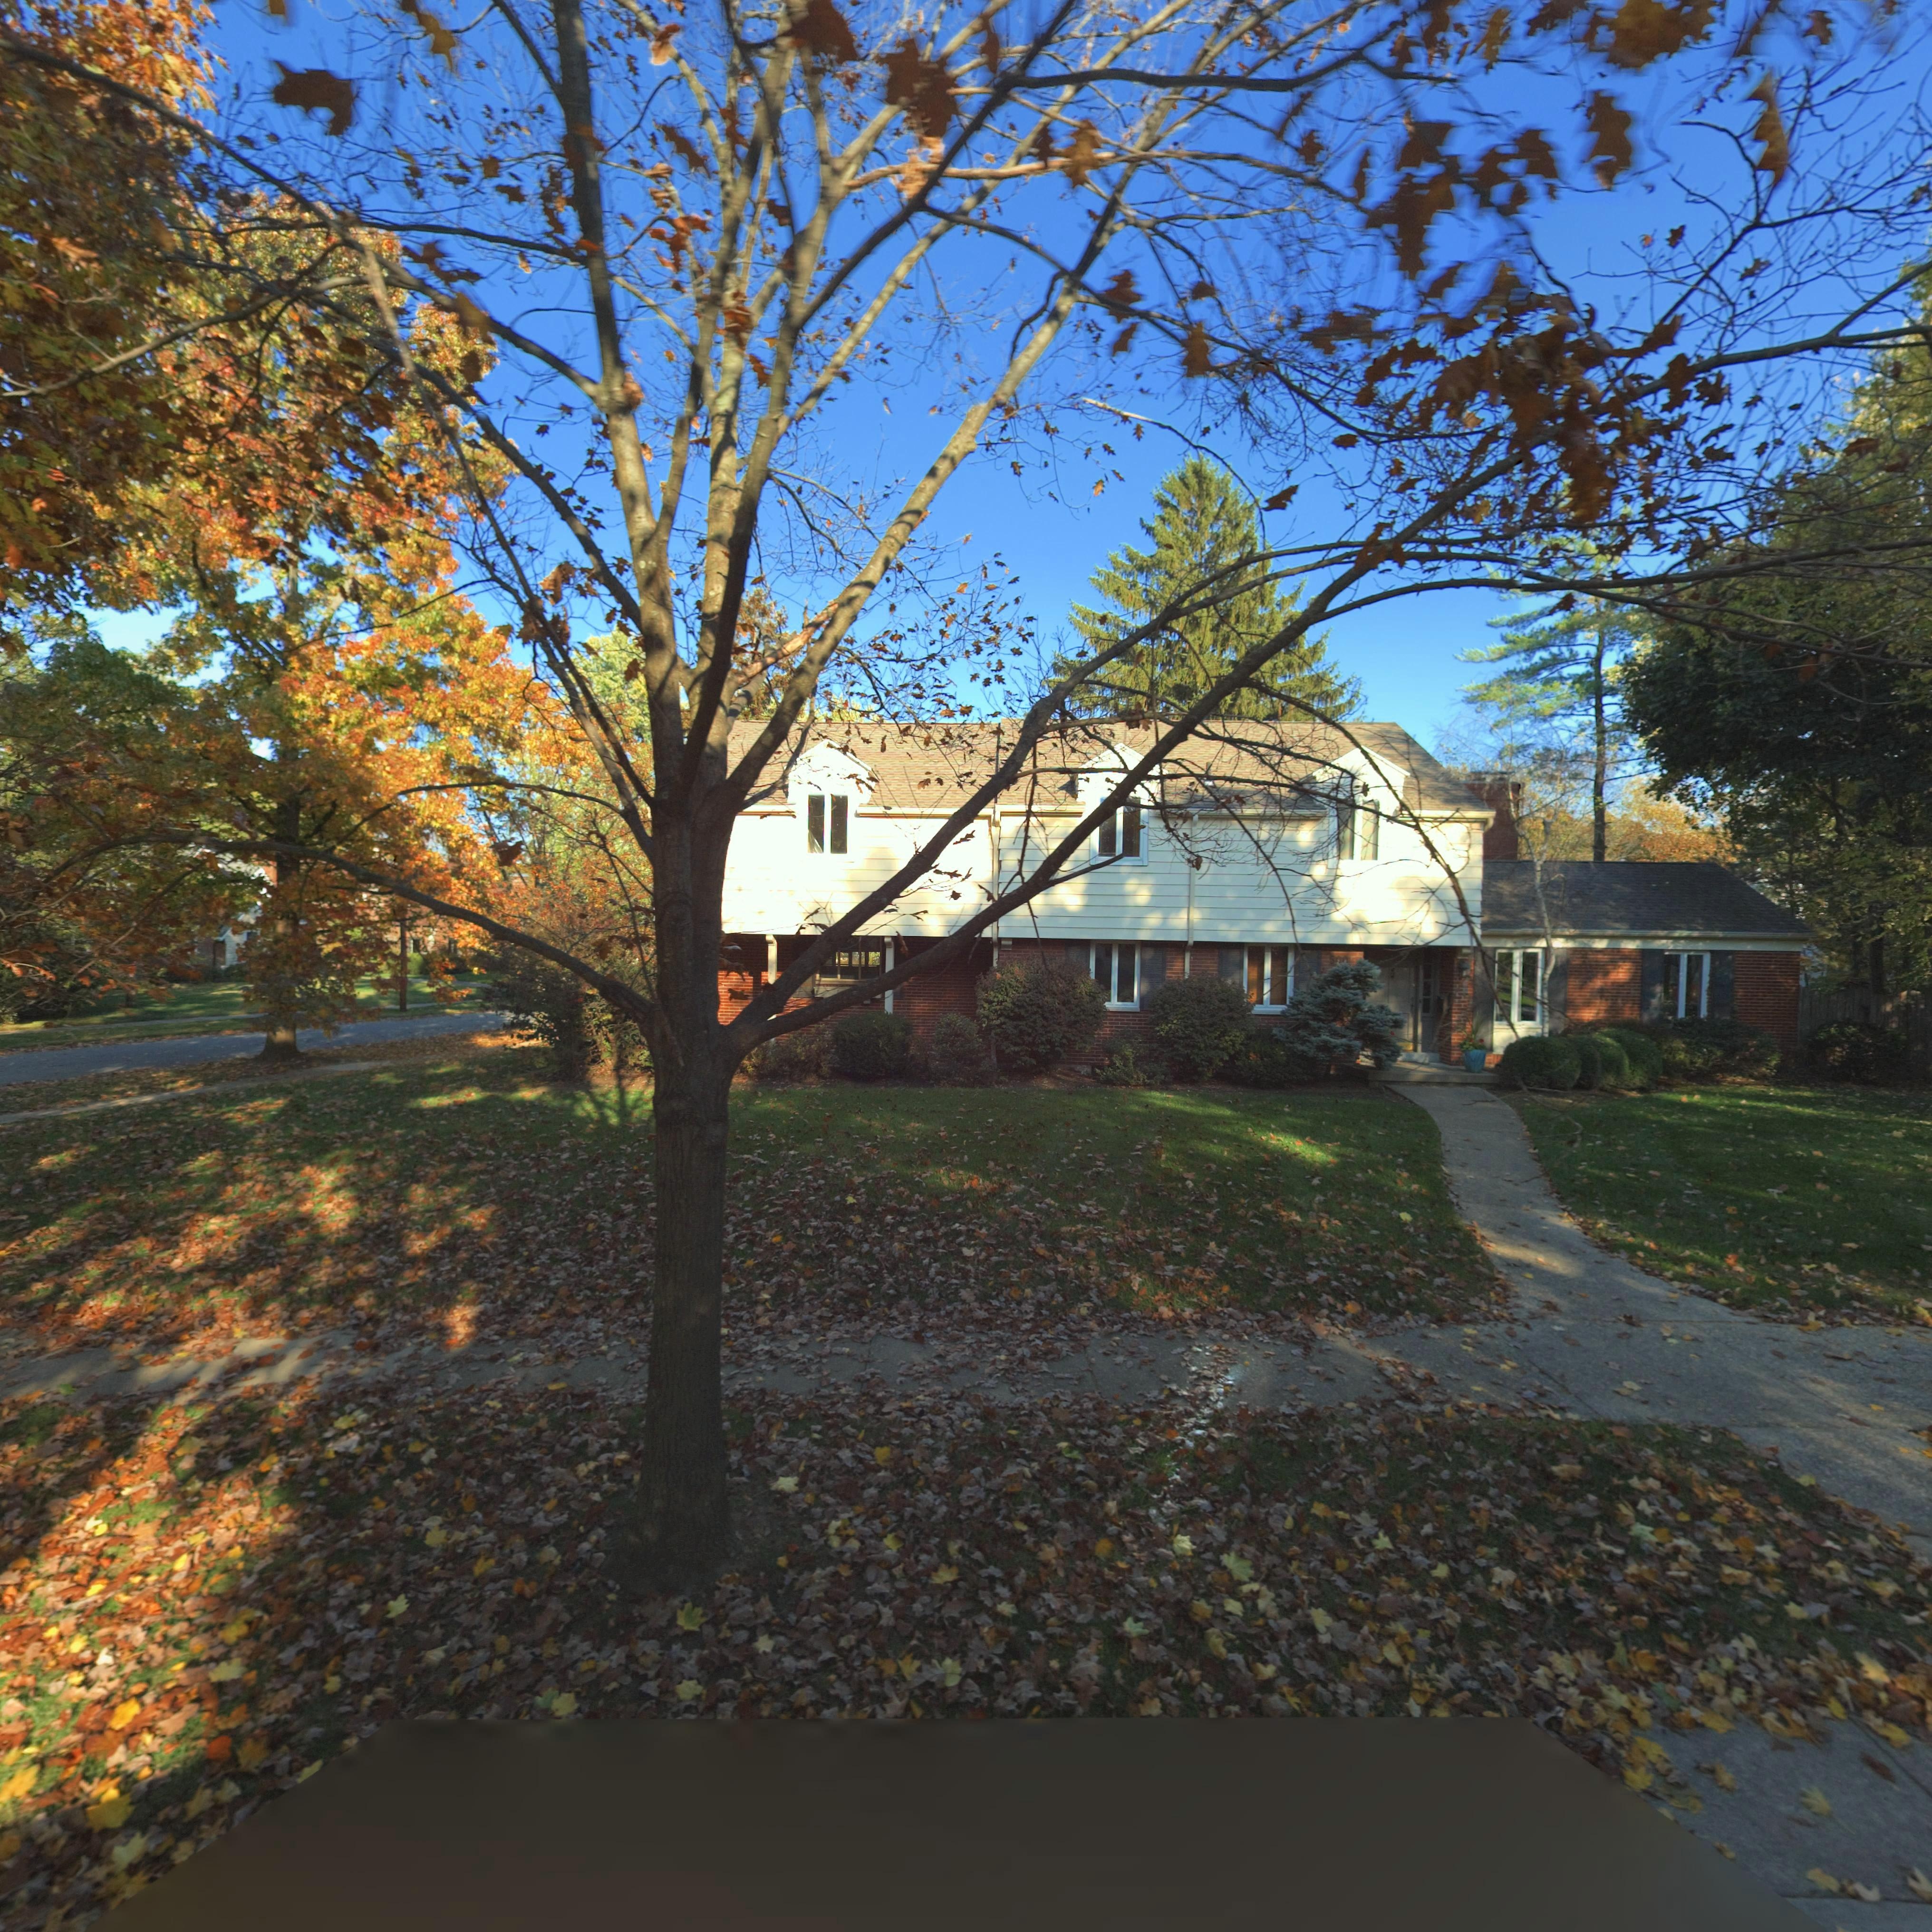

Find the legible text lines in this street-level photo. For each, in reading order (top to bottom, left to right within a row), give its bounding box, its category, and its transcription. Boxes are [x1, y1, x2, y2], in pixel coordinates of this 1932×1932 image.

[1329, 955, 1348, 964] StreetNumber: 50*